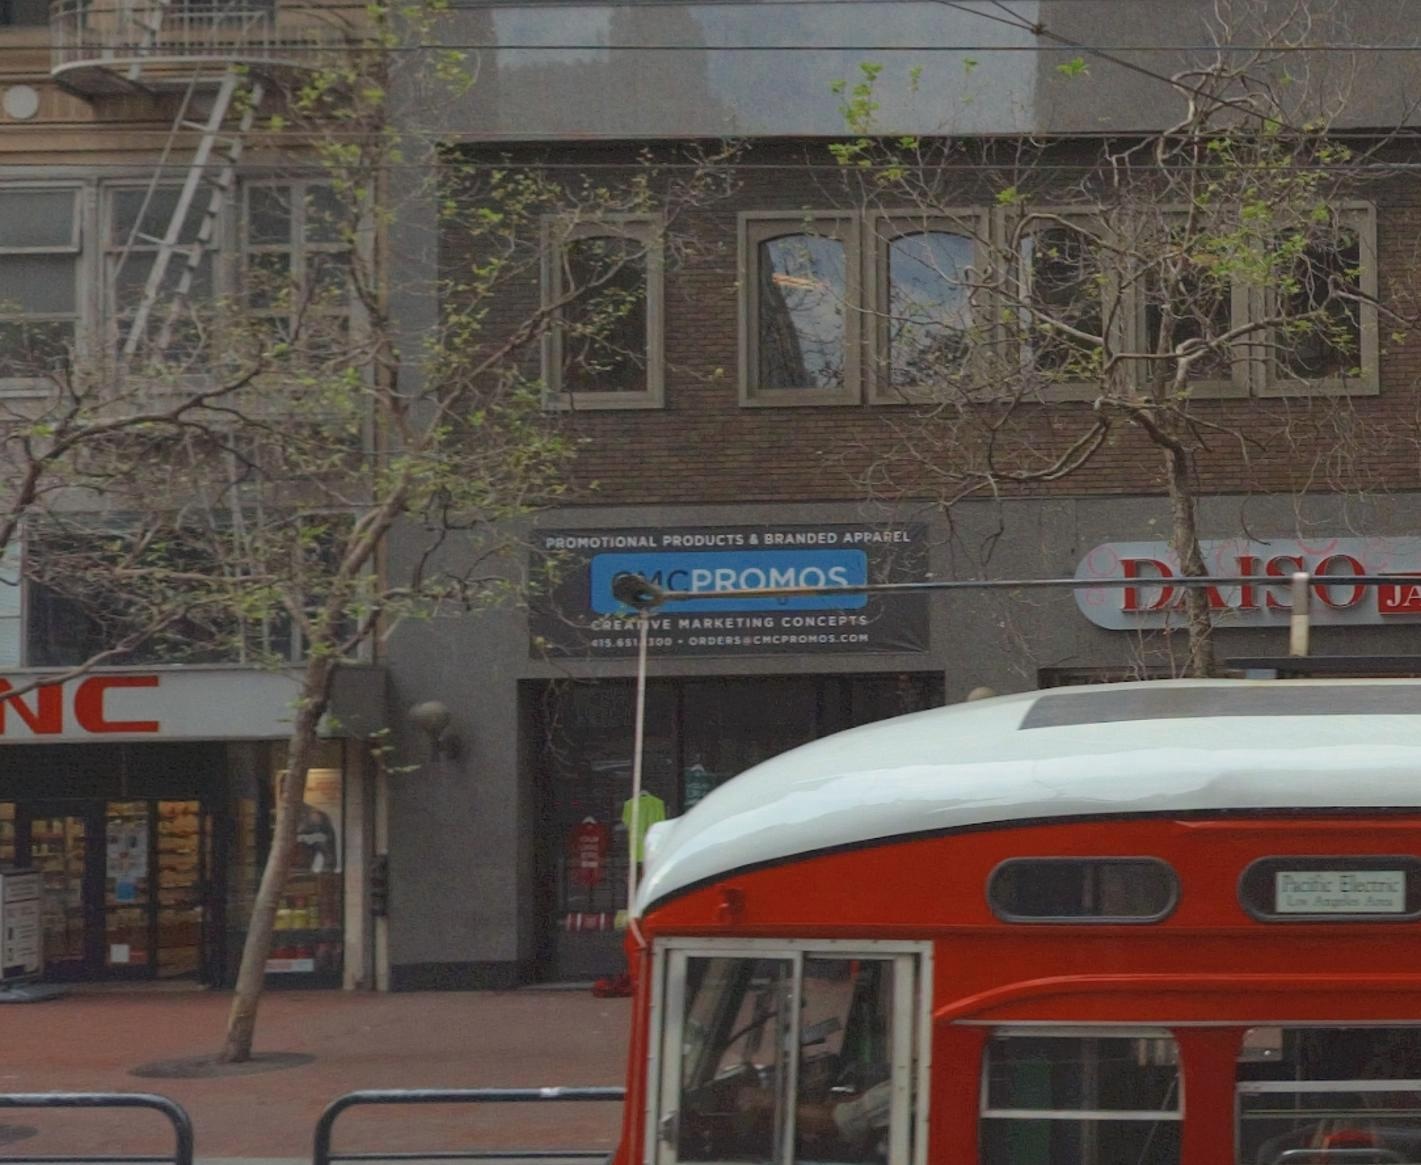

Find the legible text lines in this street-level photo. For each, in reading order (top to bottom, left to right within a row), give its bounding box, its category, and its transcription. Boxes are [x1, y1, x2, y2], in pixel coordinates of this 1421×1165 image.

[542, 528, 914, 551] None: PROMOTIONAL PRODUCTS & BRANDED APPAREL
[663, 563, 851, 600] BusinessName: C PROMOS
[587, 612, 870, 633] None: CREAT*VE MARKETING CONCEPTS
[586, 631, 871, 650] None: 415.651.*300 - ORDERS*CMCPROMOS.COM
[70, 671, 164, 738] BusinessName: C
[1278, 871, 1405, 895] None: Pacific Electric